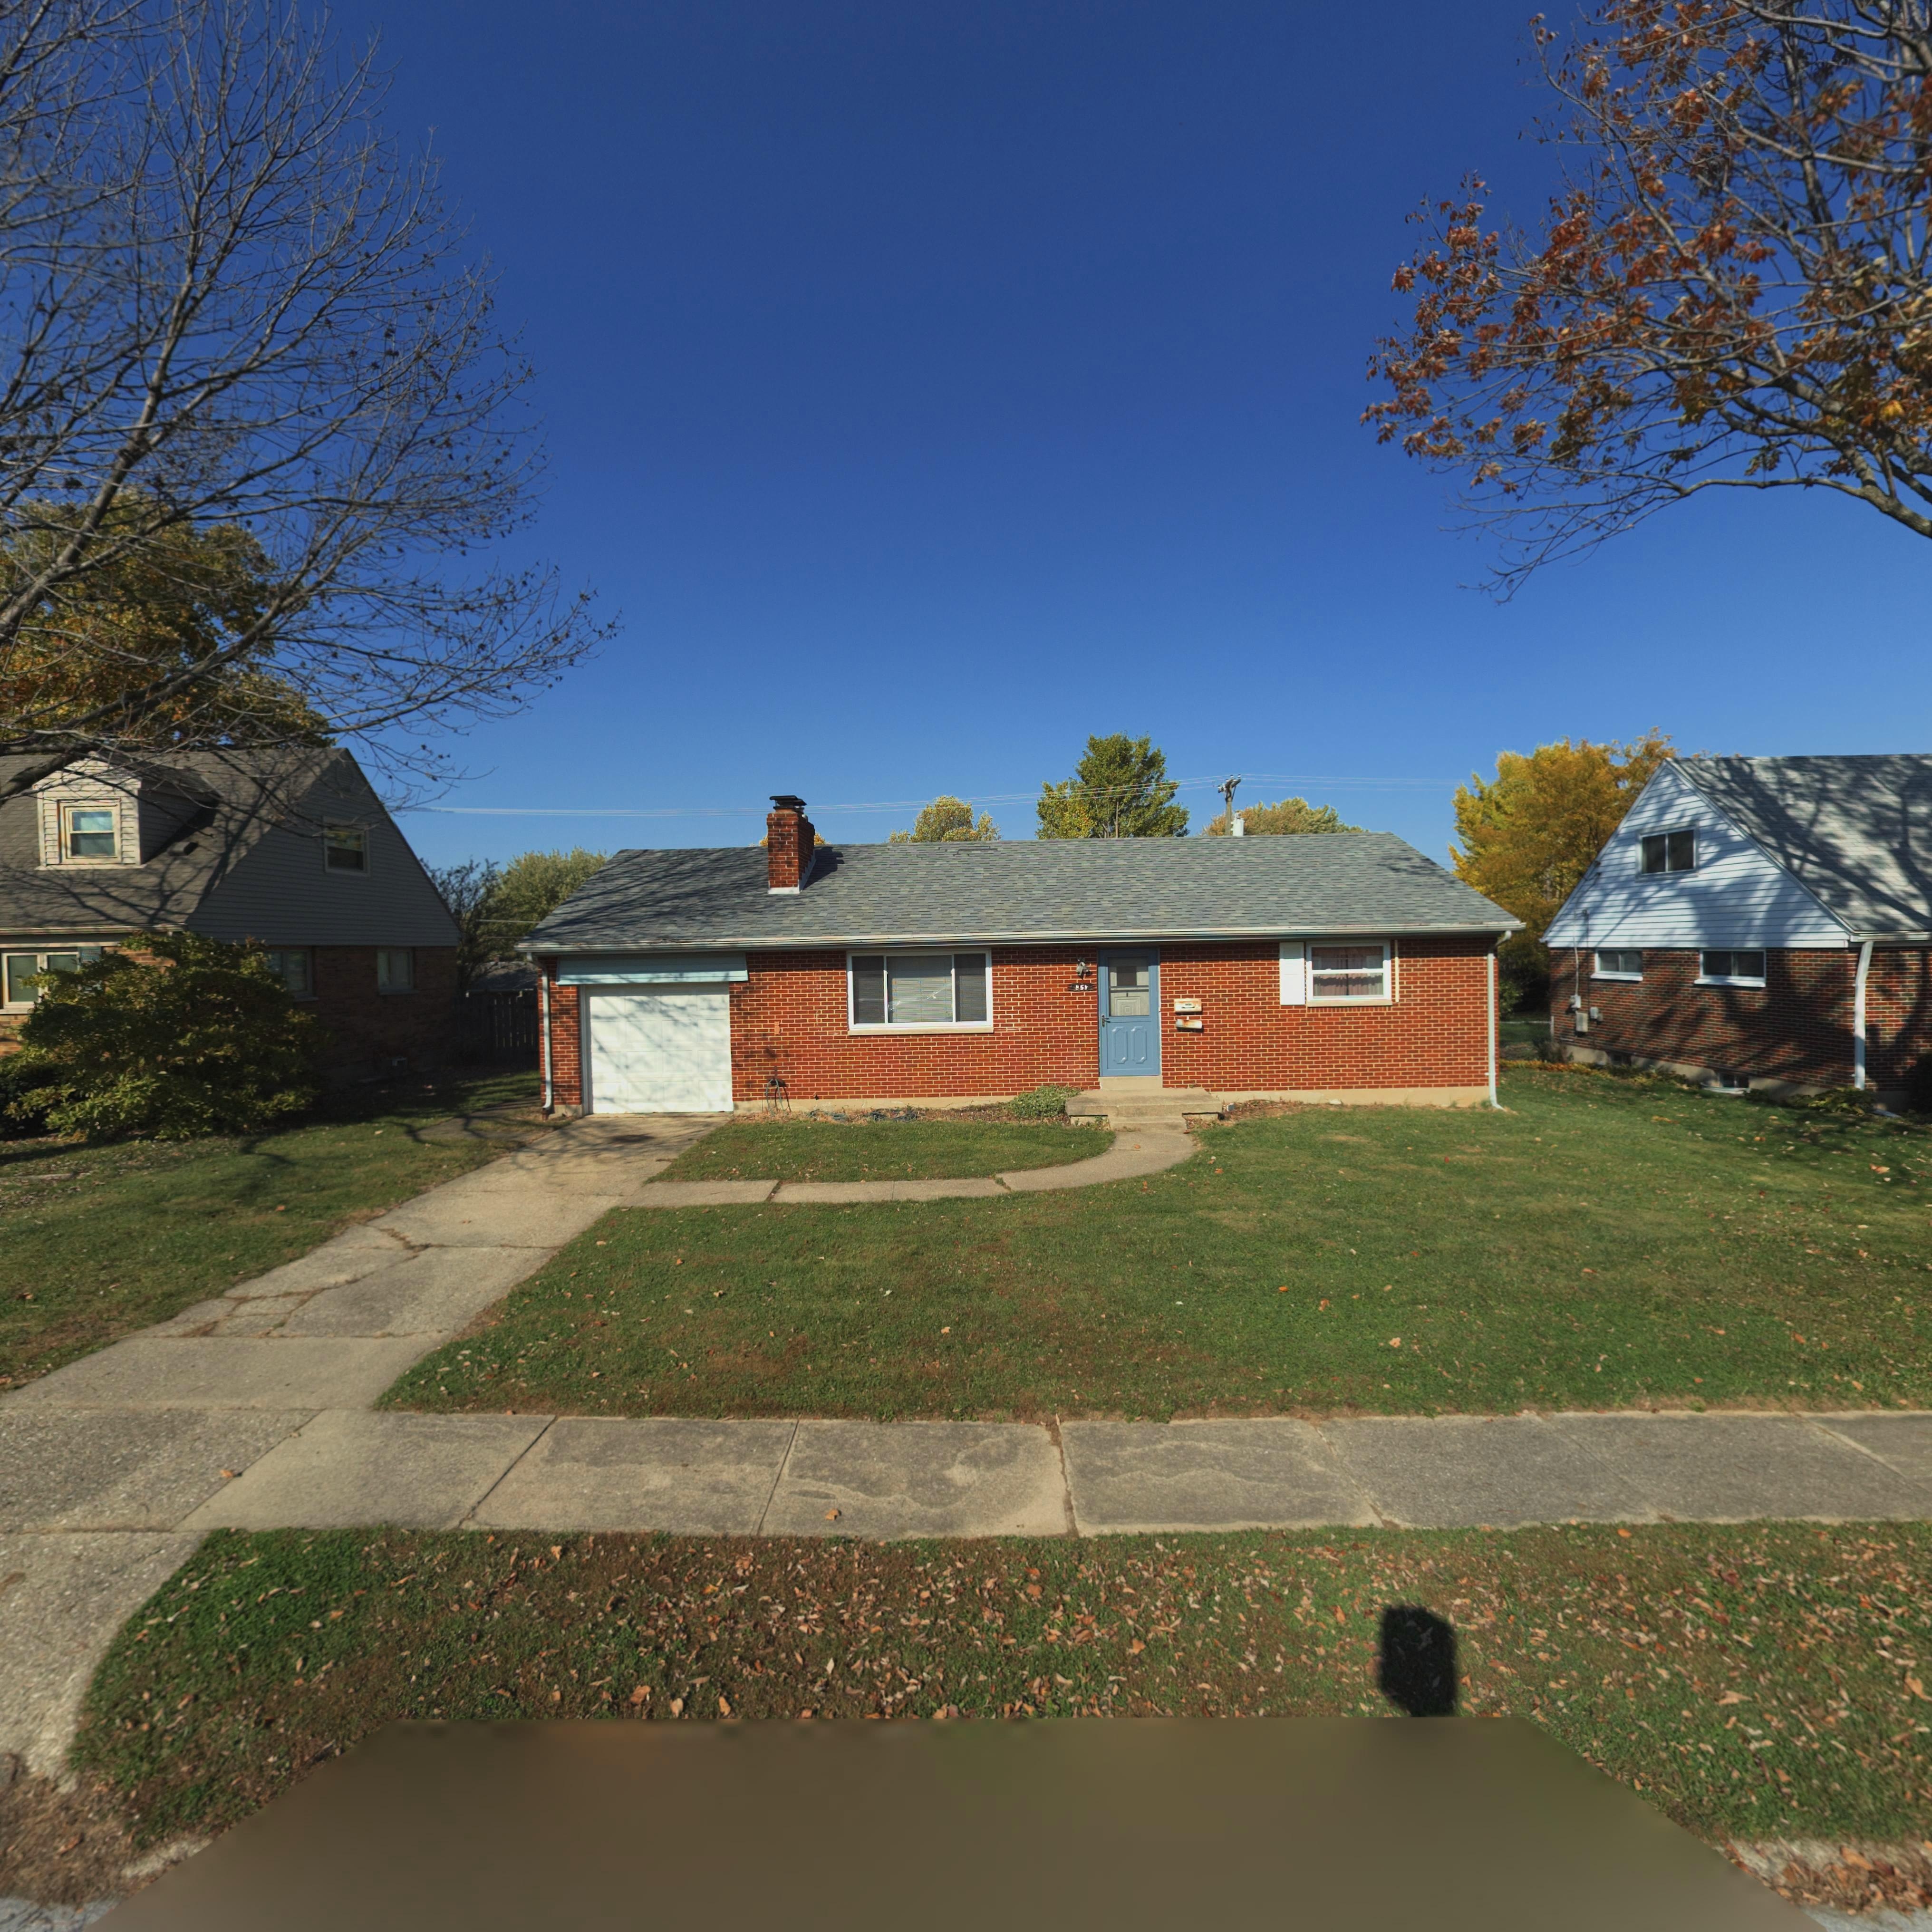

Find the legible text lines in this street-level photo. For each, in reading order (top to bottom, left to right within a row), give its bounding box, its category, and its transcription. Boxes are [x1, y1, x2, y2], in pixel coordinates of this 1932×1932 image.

[1074, 984, 1088, 990] StreetNumber: 95*